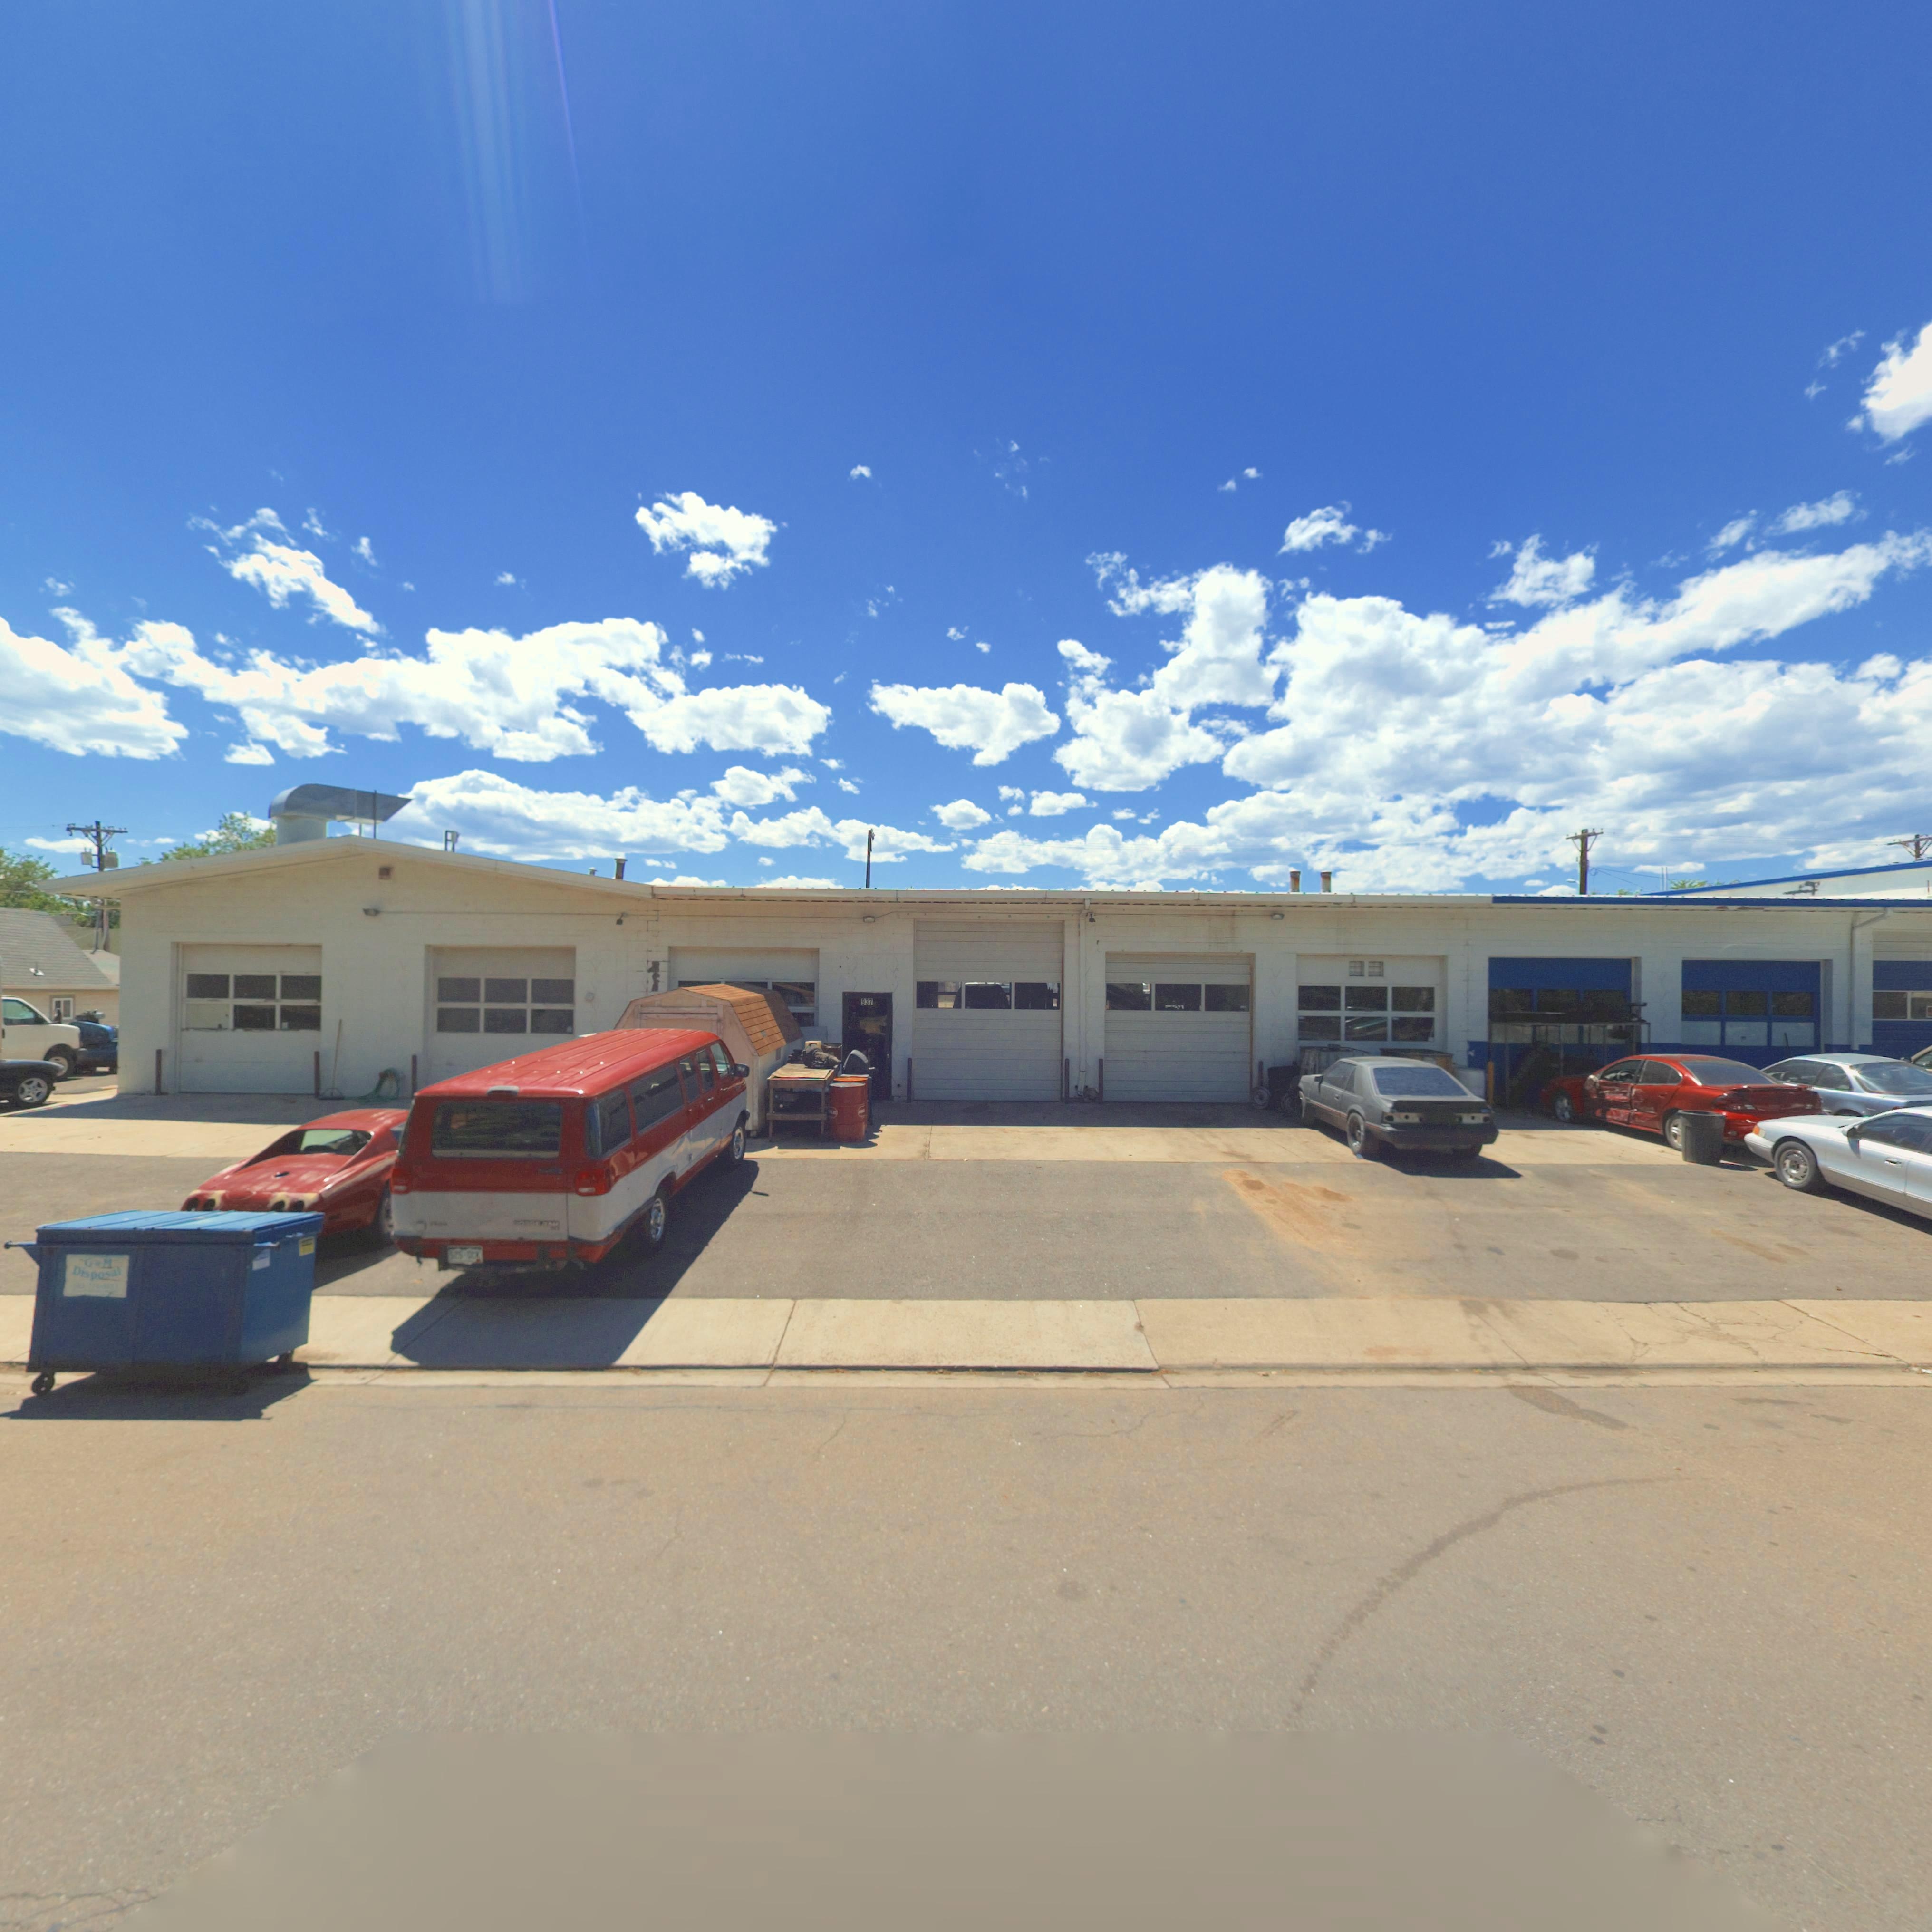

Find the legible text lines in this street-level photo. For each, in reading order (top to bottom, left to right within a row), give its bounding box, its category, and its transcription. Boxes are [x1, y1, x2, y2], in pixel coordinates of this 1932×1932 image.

[860, 998, 872, 1005] StreetNumber: 937